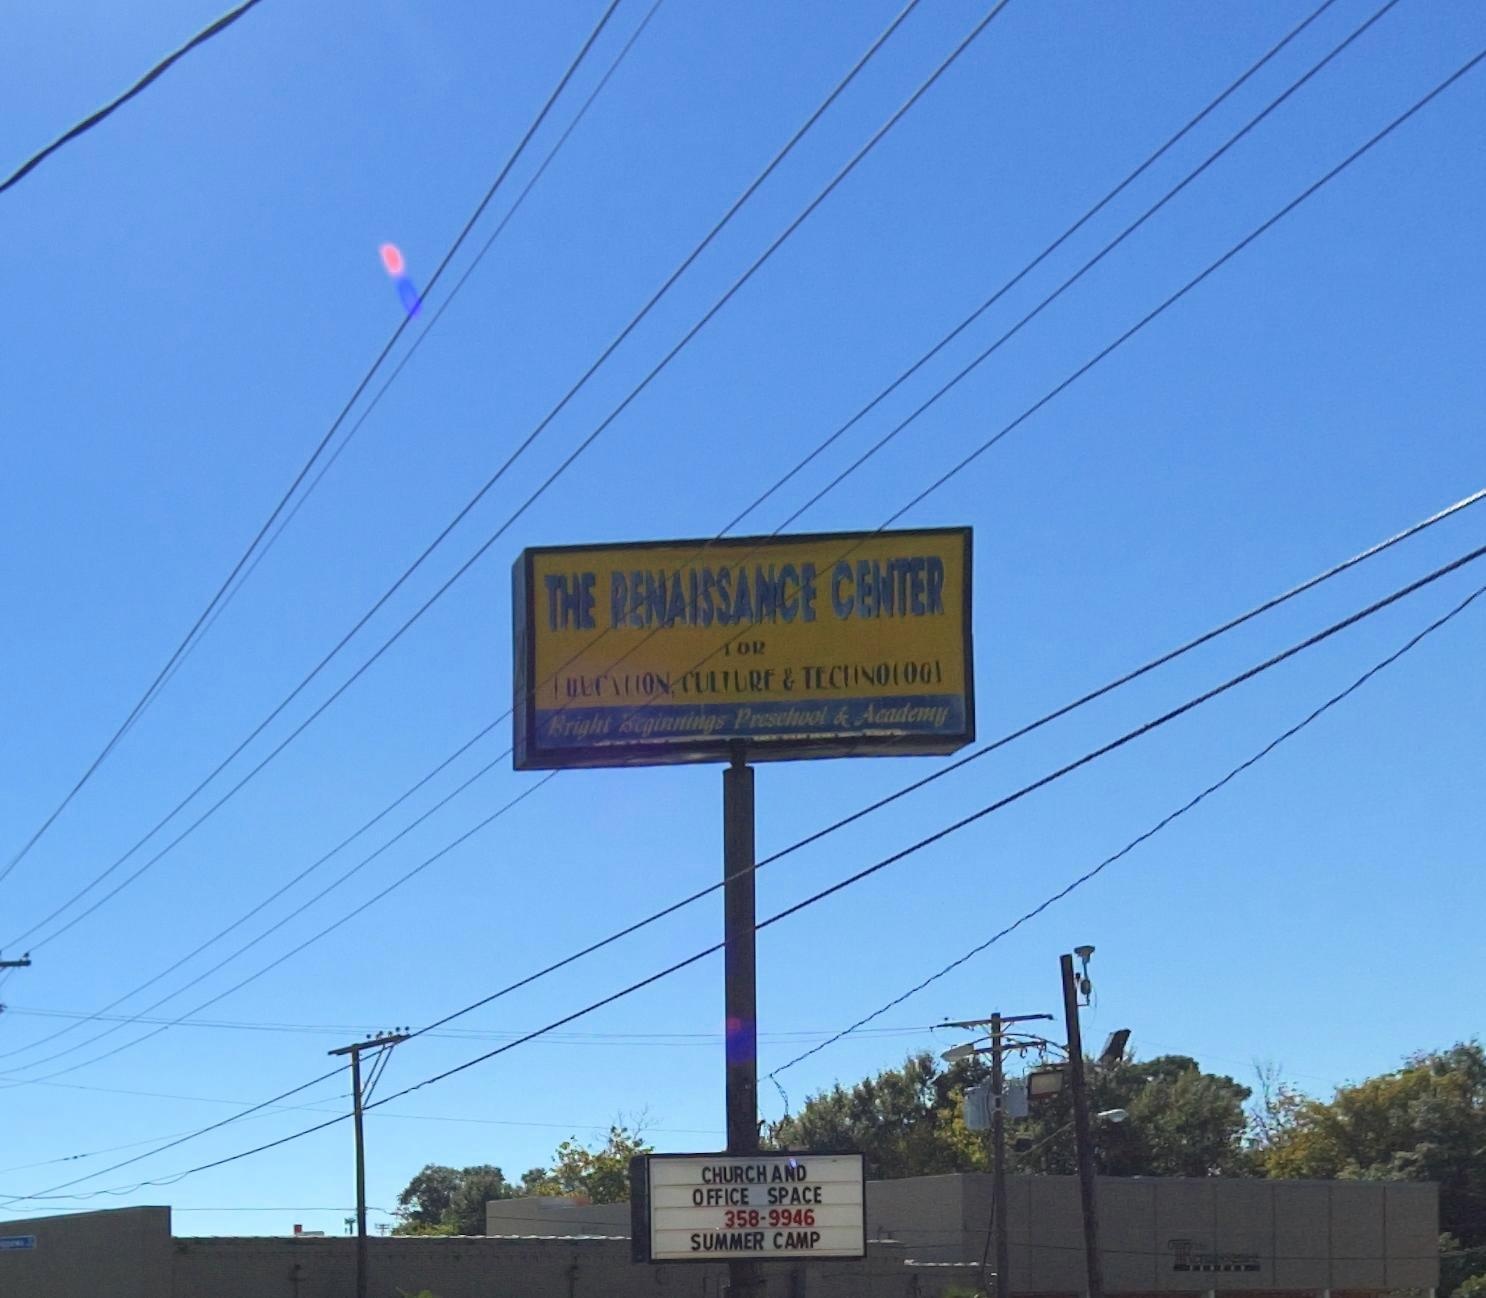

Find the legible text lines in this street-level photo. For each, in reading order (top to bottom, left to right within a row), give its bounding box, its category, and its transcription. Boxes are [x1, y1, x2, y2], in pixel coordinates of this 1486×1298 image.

[540, 550, 951, 638] BusinessName: THE RENAISSANCE CENTER
[721, 638, 773, 659] None: *OR
[548, 652, 955, 709] None: *****tion, CULTURE & TECHNOLOGY
[541, 696, 955, 744] BusinessName: Bright Beginnings Preschool & Academy
[698, 1162, 810, 1185] None: CHURCH AND
[689, 1184, 825, 1208] None: OFFICE SPACE
[721, 1206, 821, 1230] None: 358-9946
[688, 1229, 824, 1254] None: SUMMER CAMP